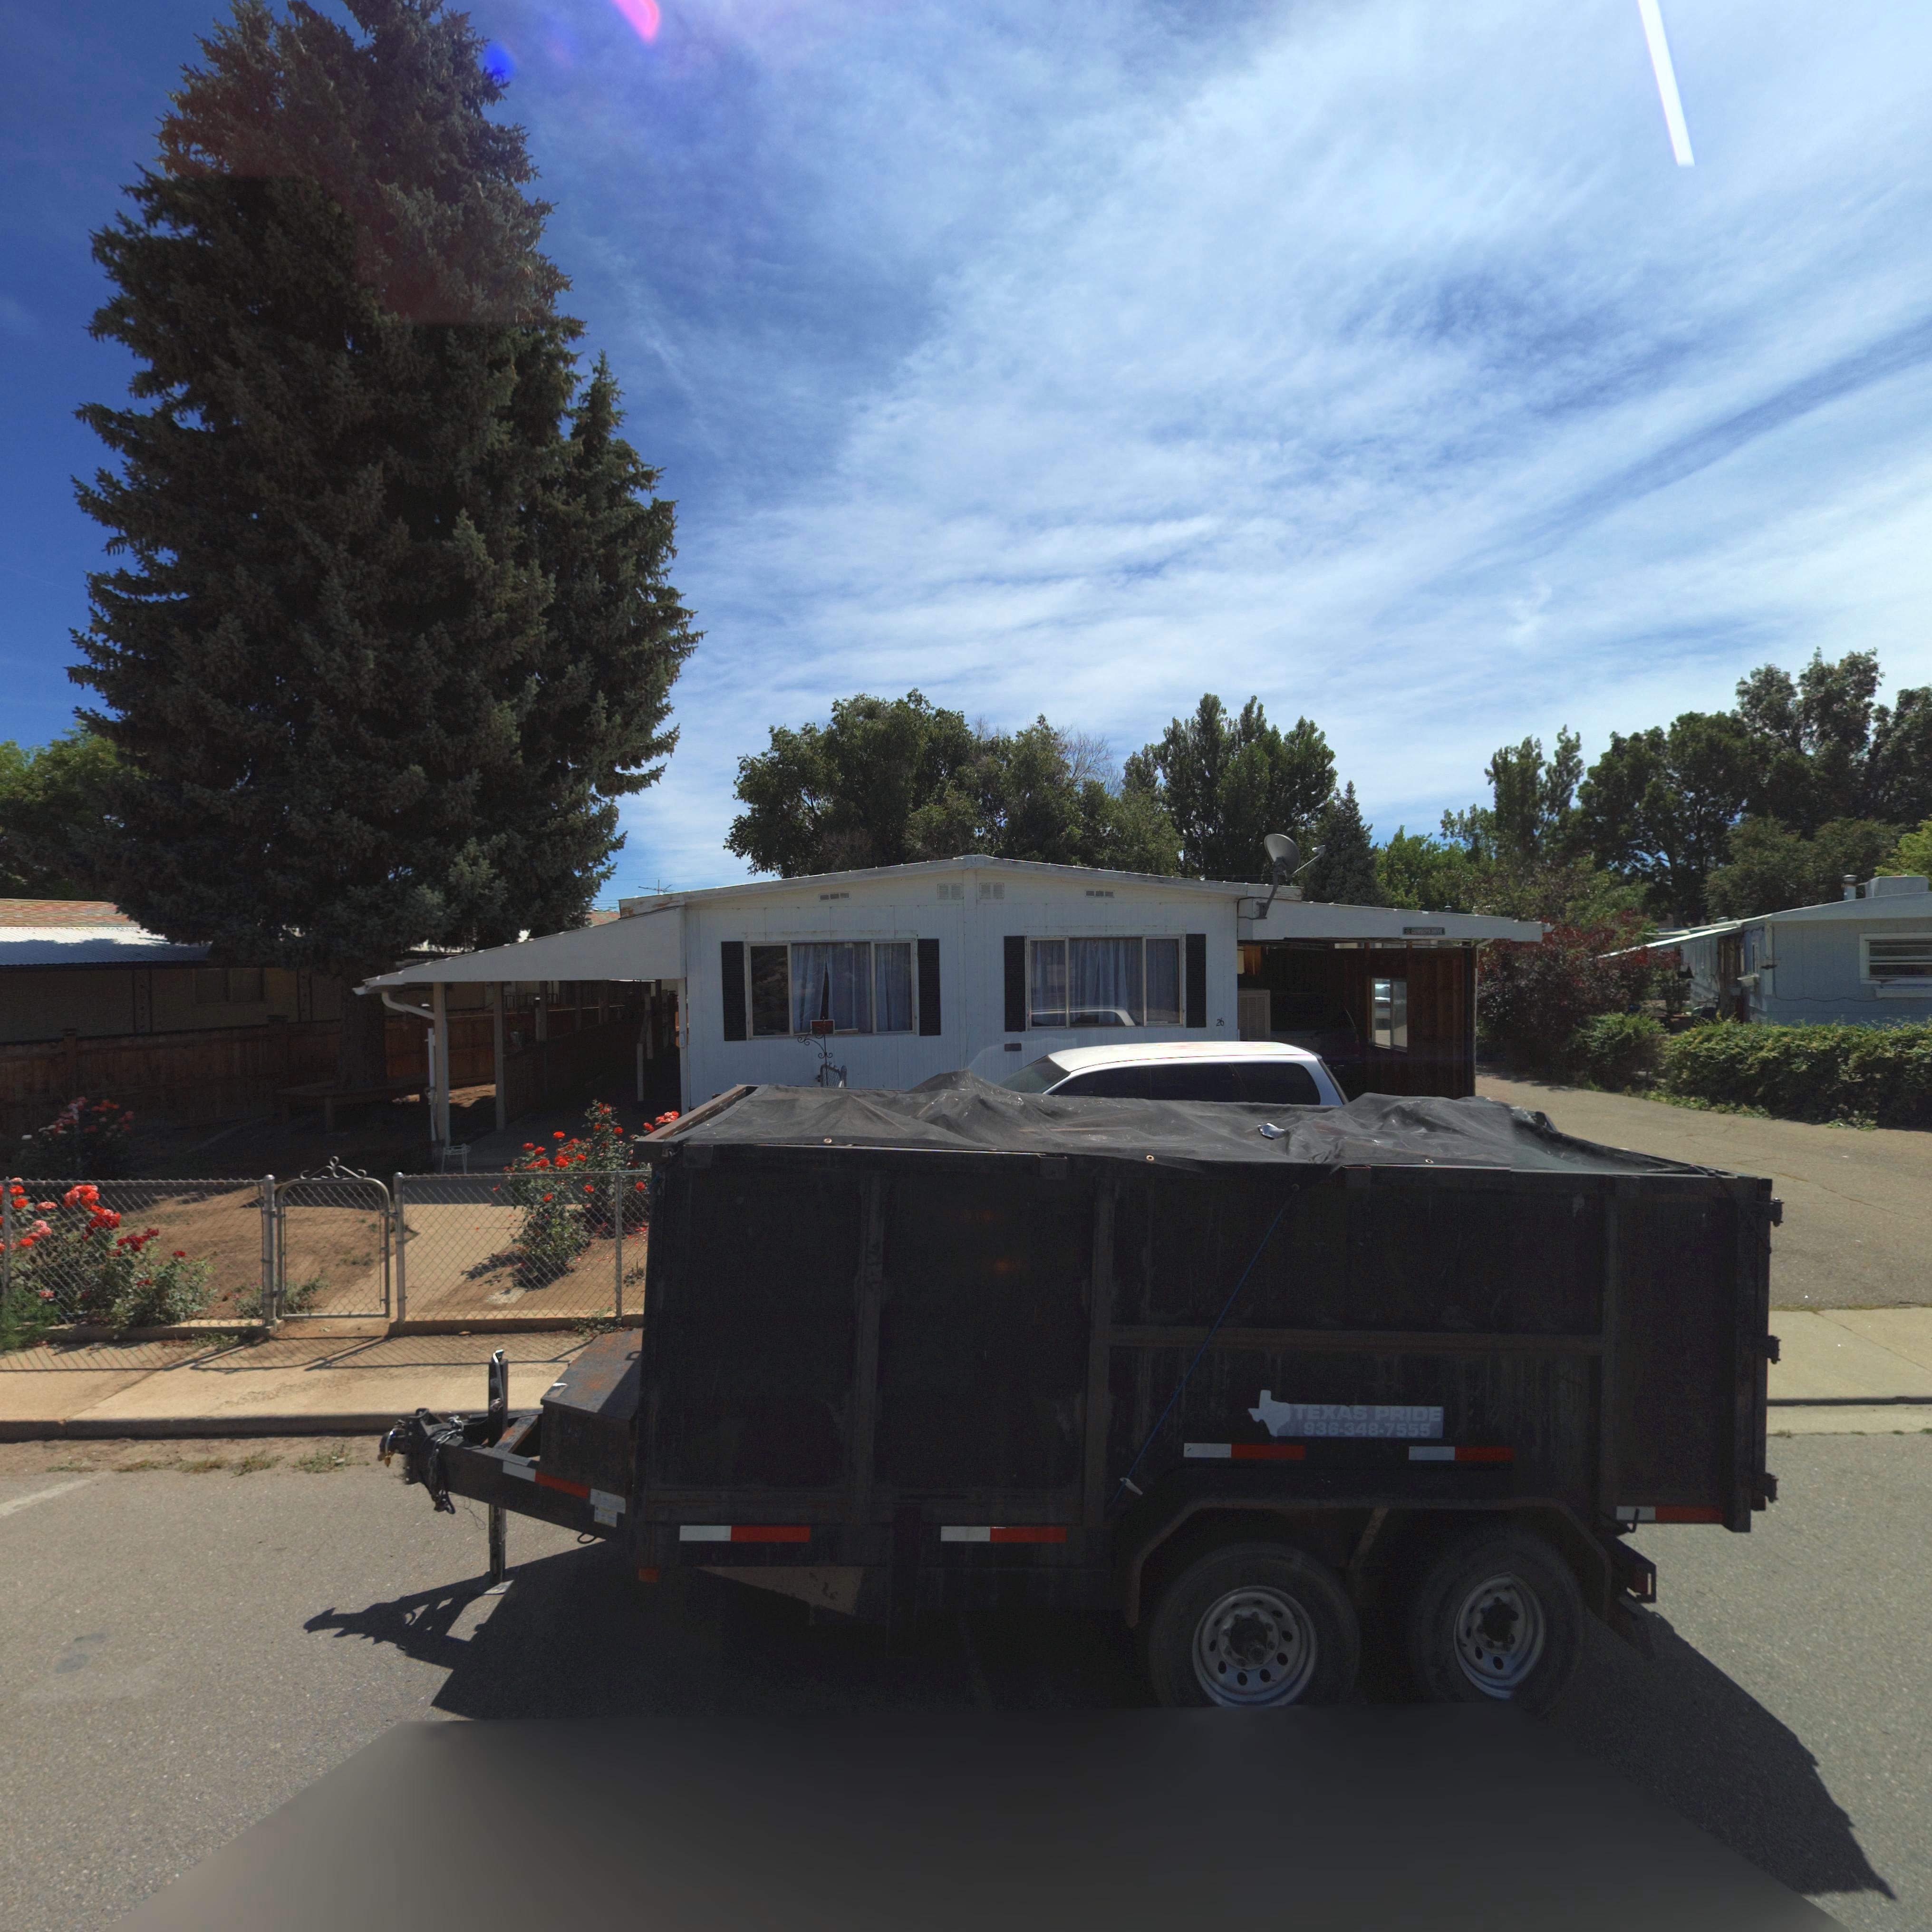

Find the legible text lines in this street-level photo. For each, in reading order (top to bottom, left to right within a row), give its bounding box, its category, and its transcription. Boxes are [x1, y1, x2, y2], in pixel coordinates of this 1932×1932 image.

[1215, 1016, 1225, 1026] StreetNumber: 26